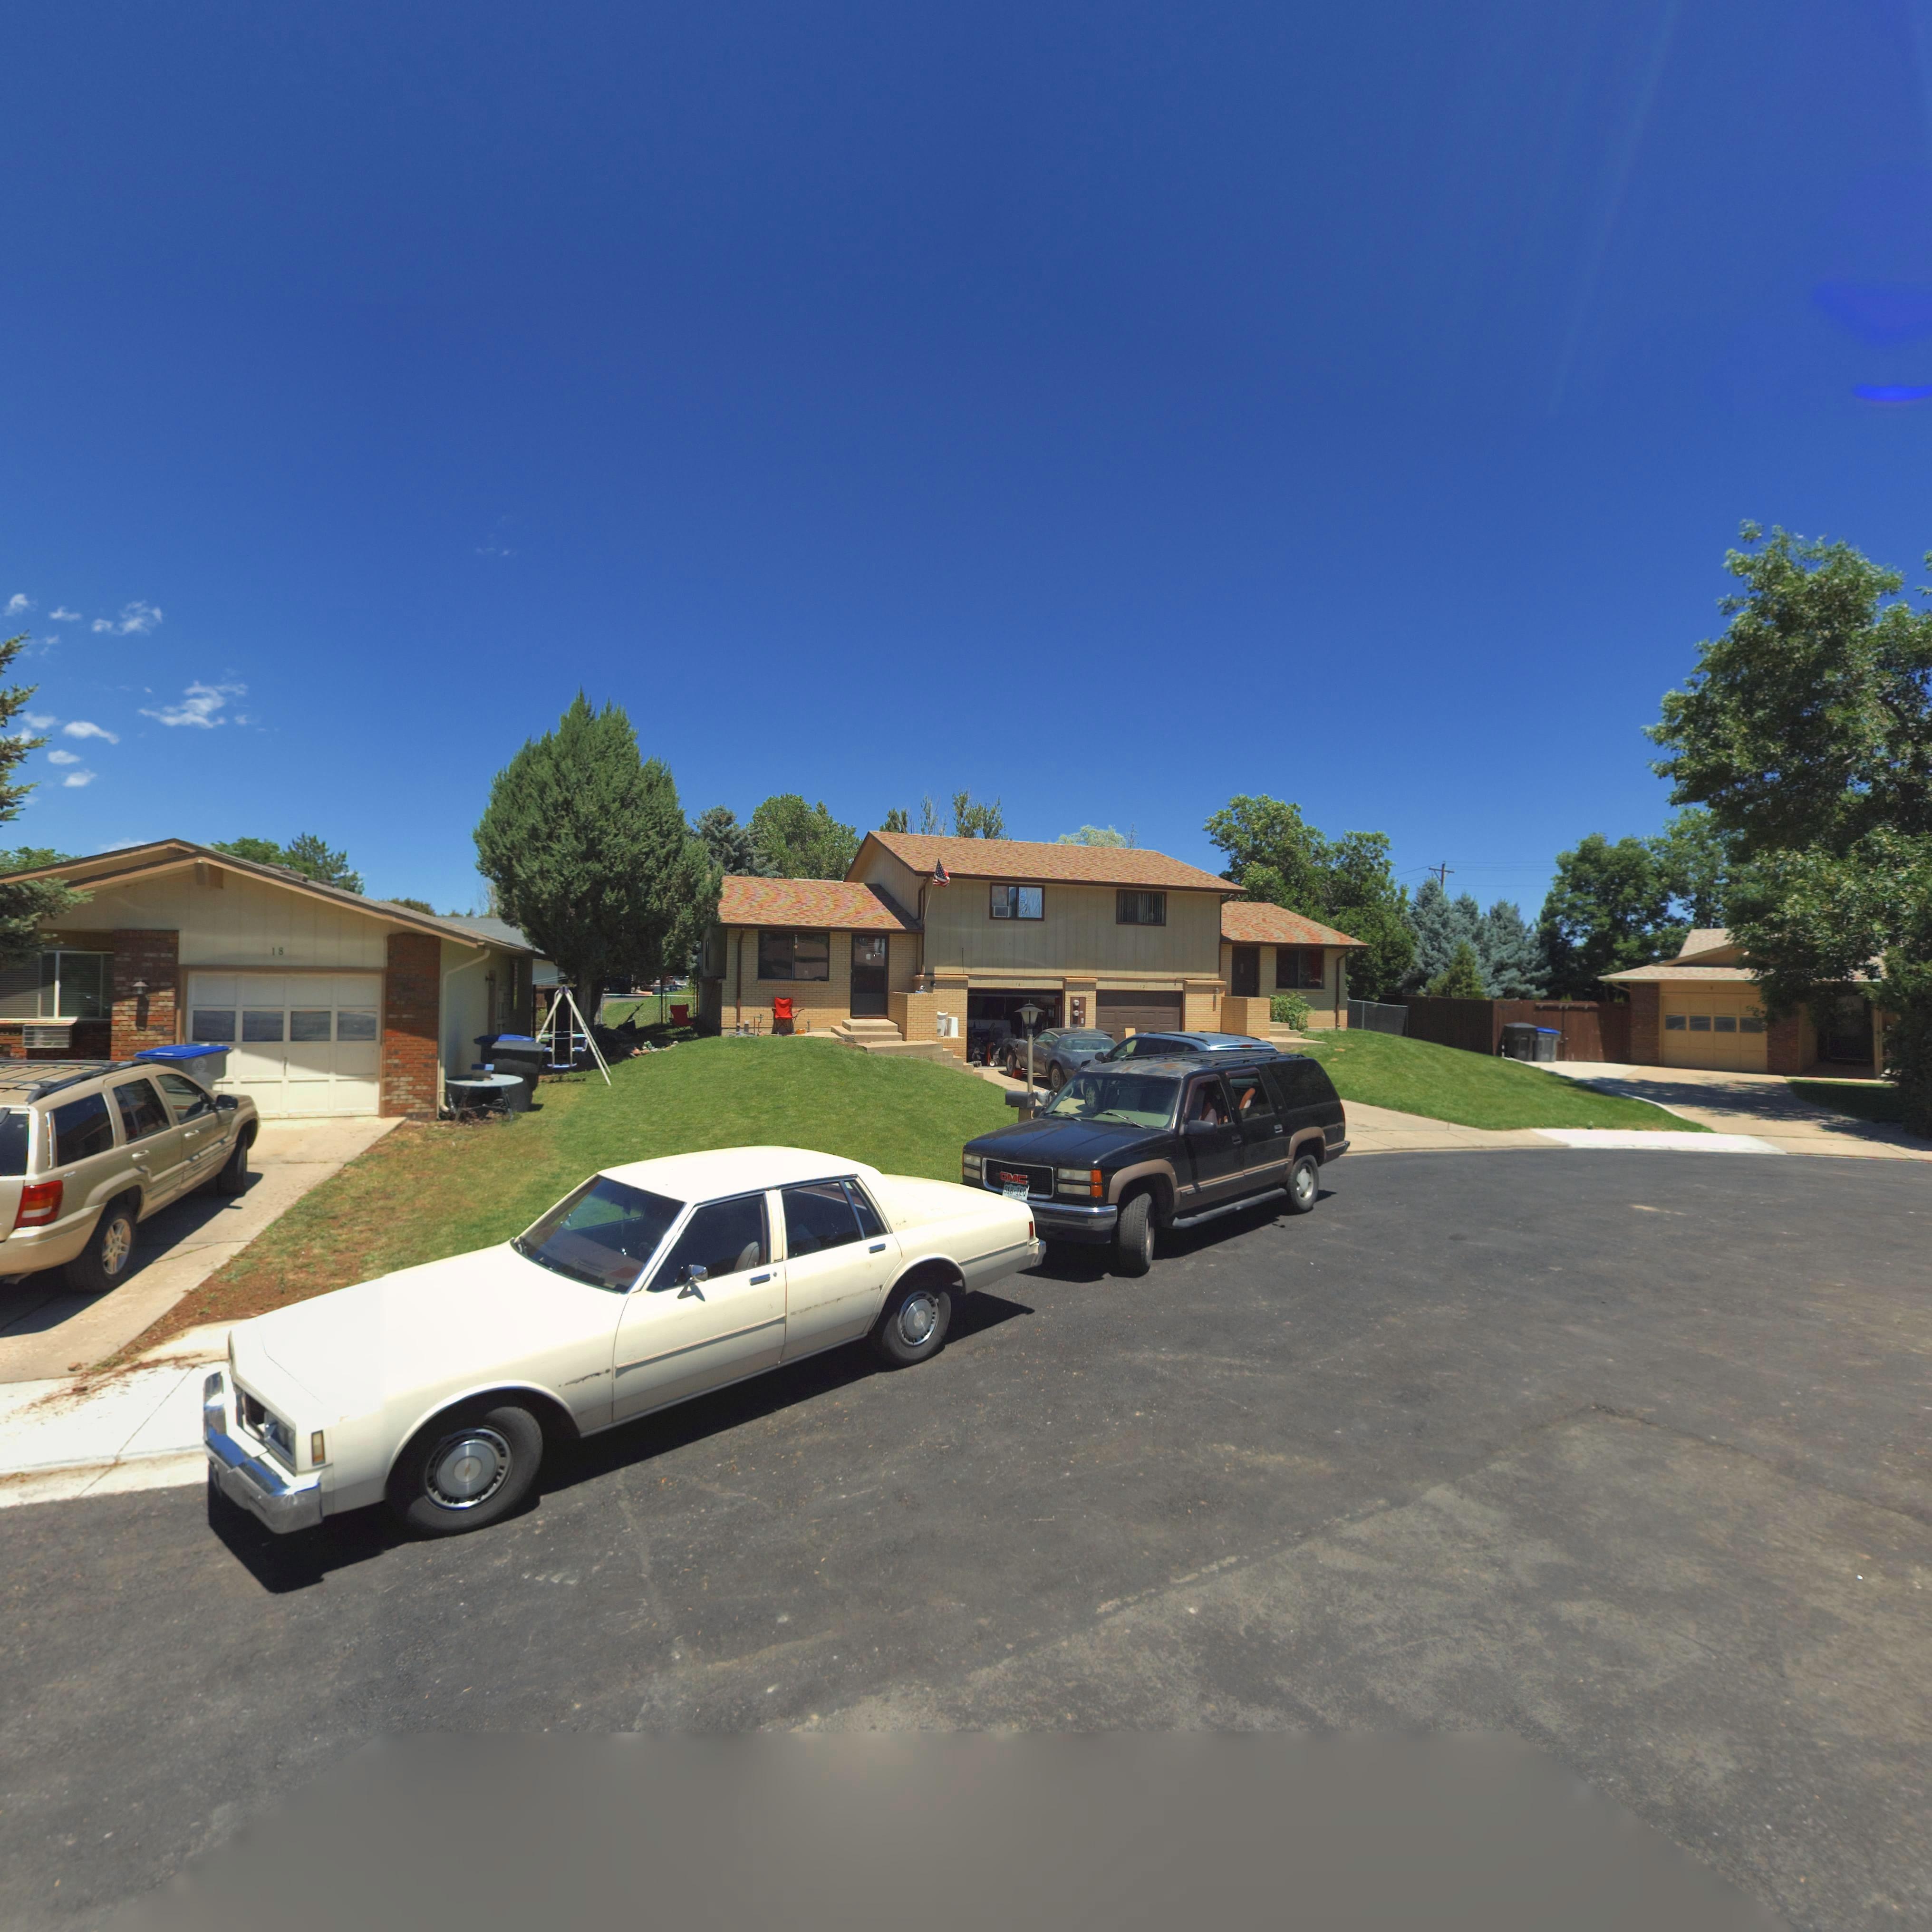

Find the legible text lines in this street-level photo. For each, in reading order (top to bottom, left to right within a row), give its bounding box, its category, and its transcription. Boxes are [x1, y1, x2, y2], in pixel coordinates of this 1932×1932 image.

[272, 947, 283, 956] StreetNumber: 18
[1015, 983, 1020, 986] StreetNumber: 14
[1140, 984, 1145, 988] StreetNumber: 12